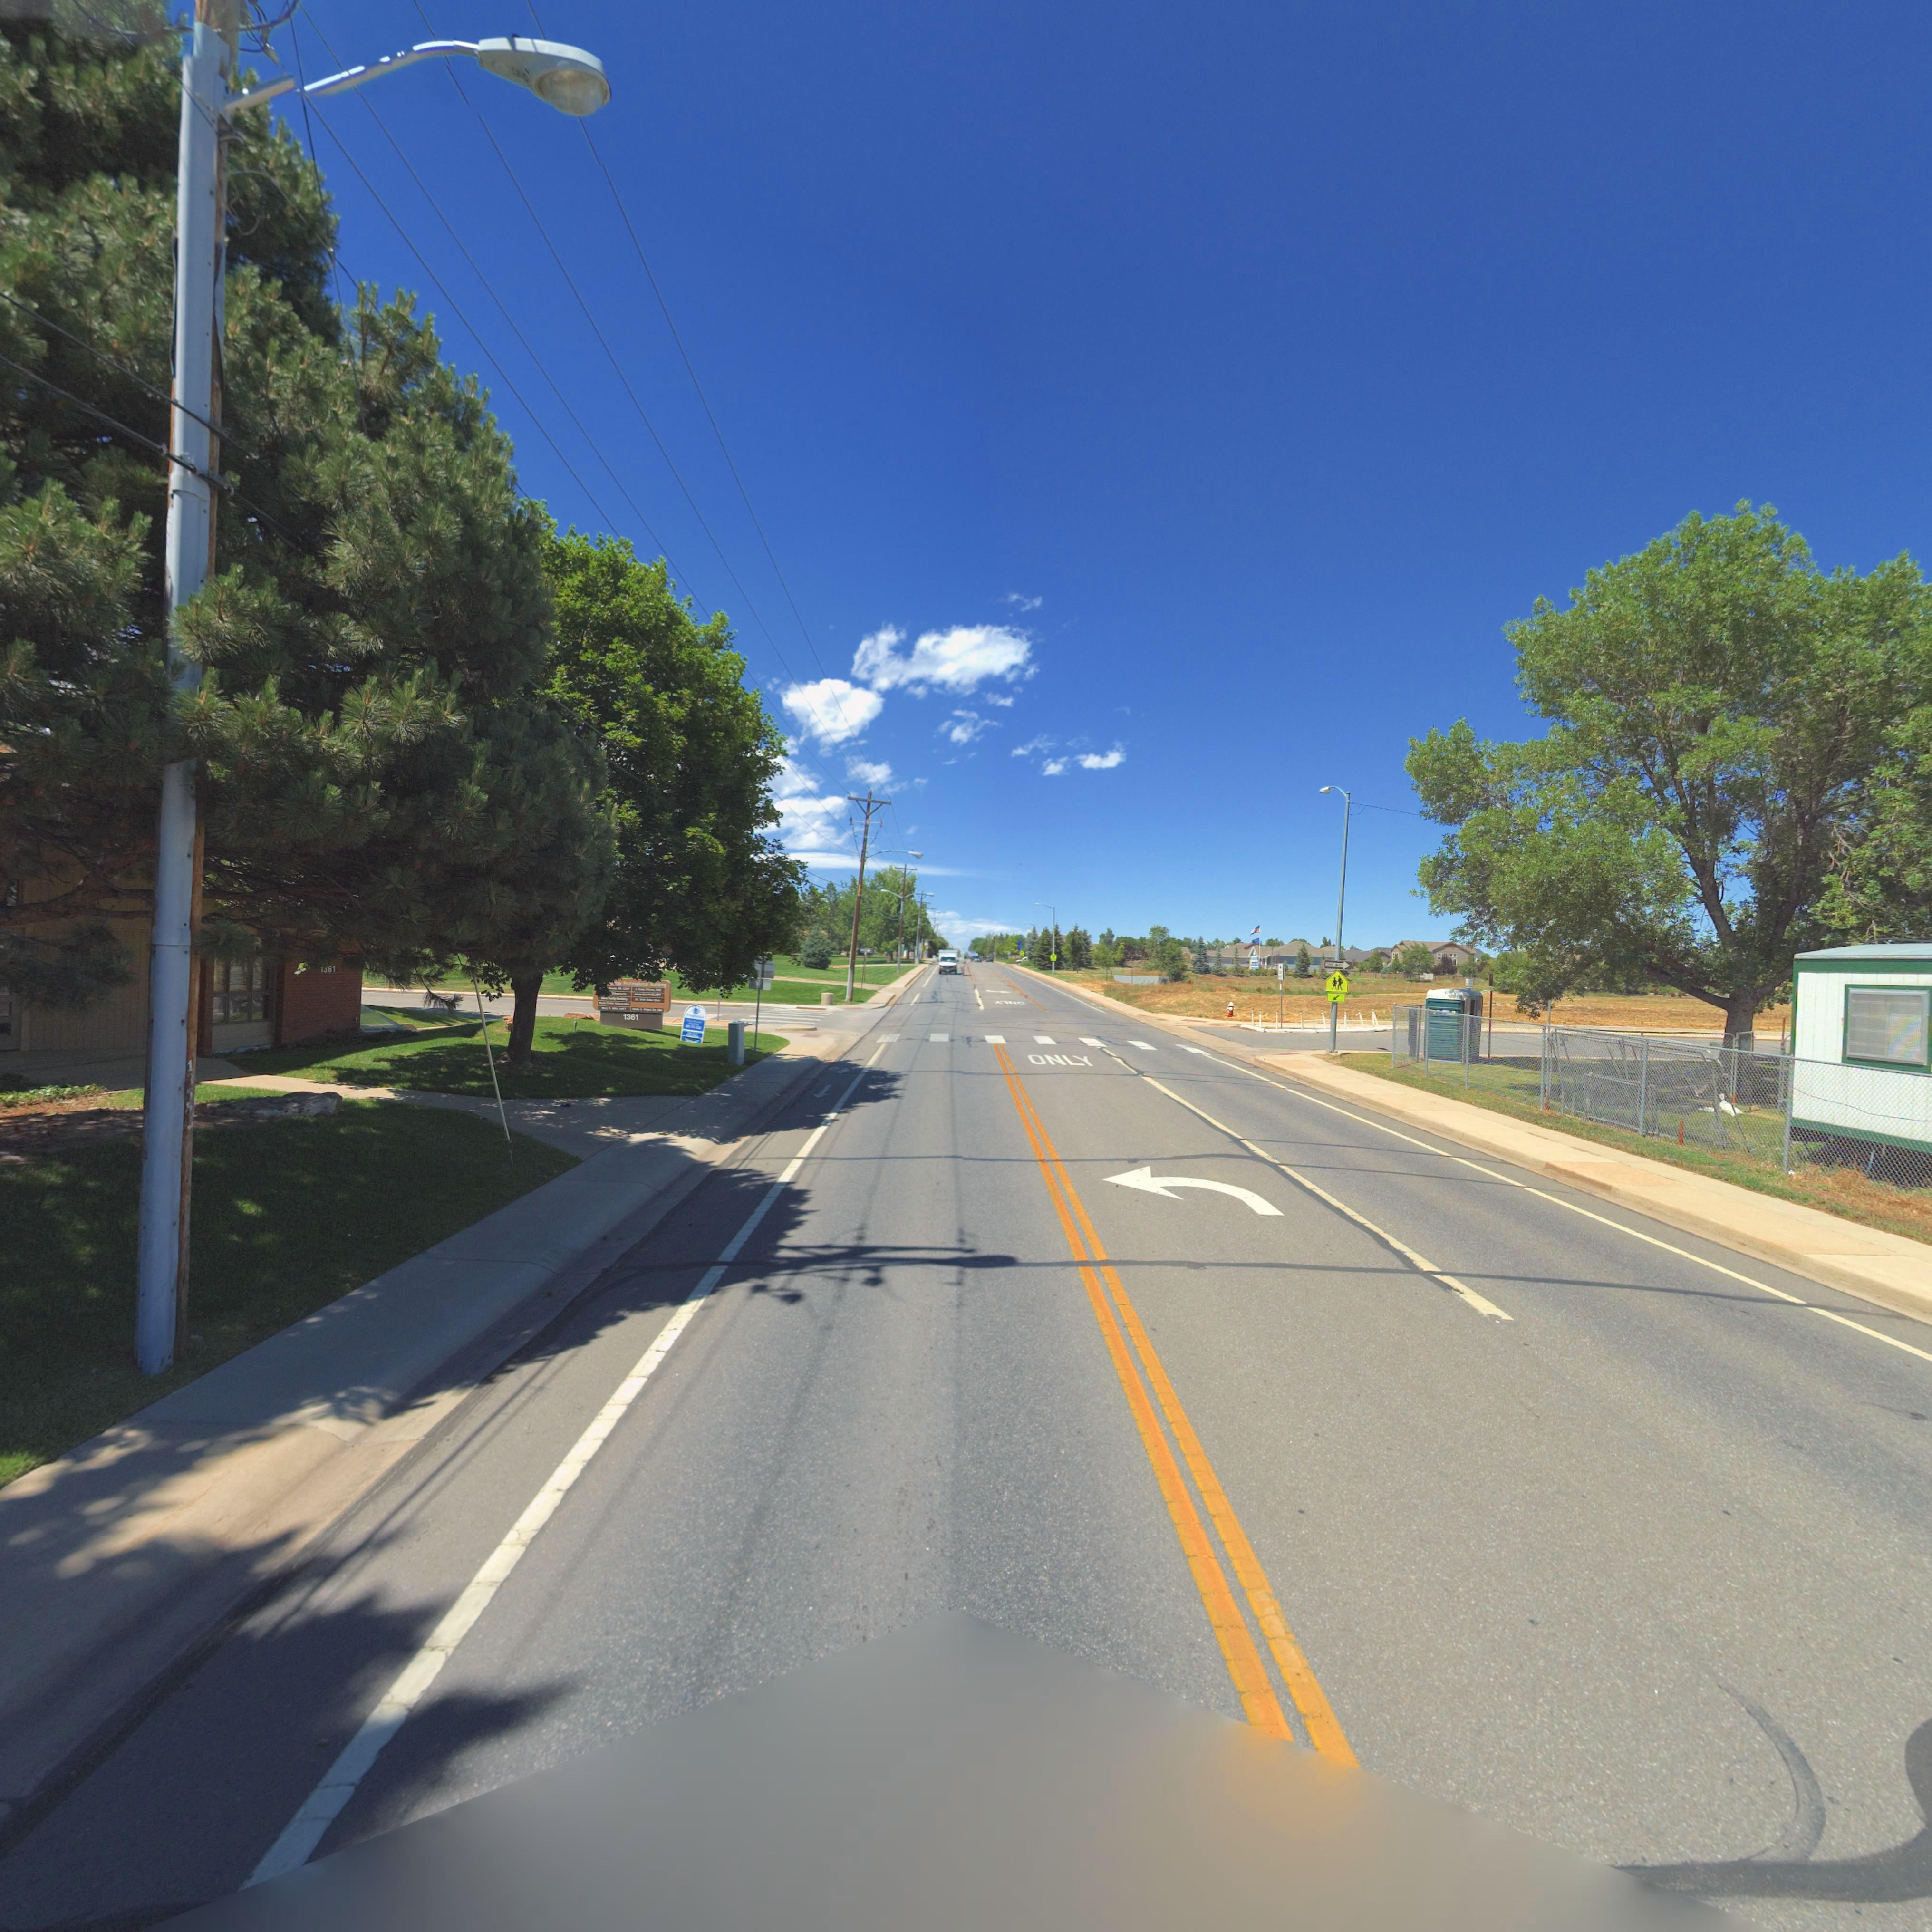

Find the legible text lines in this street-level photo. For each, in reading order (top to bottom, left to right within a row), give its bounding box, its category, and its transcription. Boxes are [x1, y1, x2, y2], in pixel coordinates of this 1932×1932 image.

[319, 965, 336, 973] StreetNumber: 1*61
[623, 1013, 638, 1021] StreetNumber: 1361